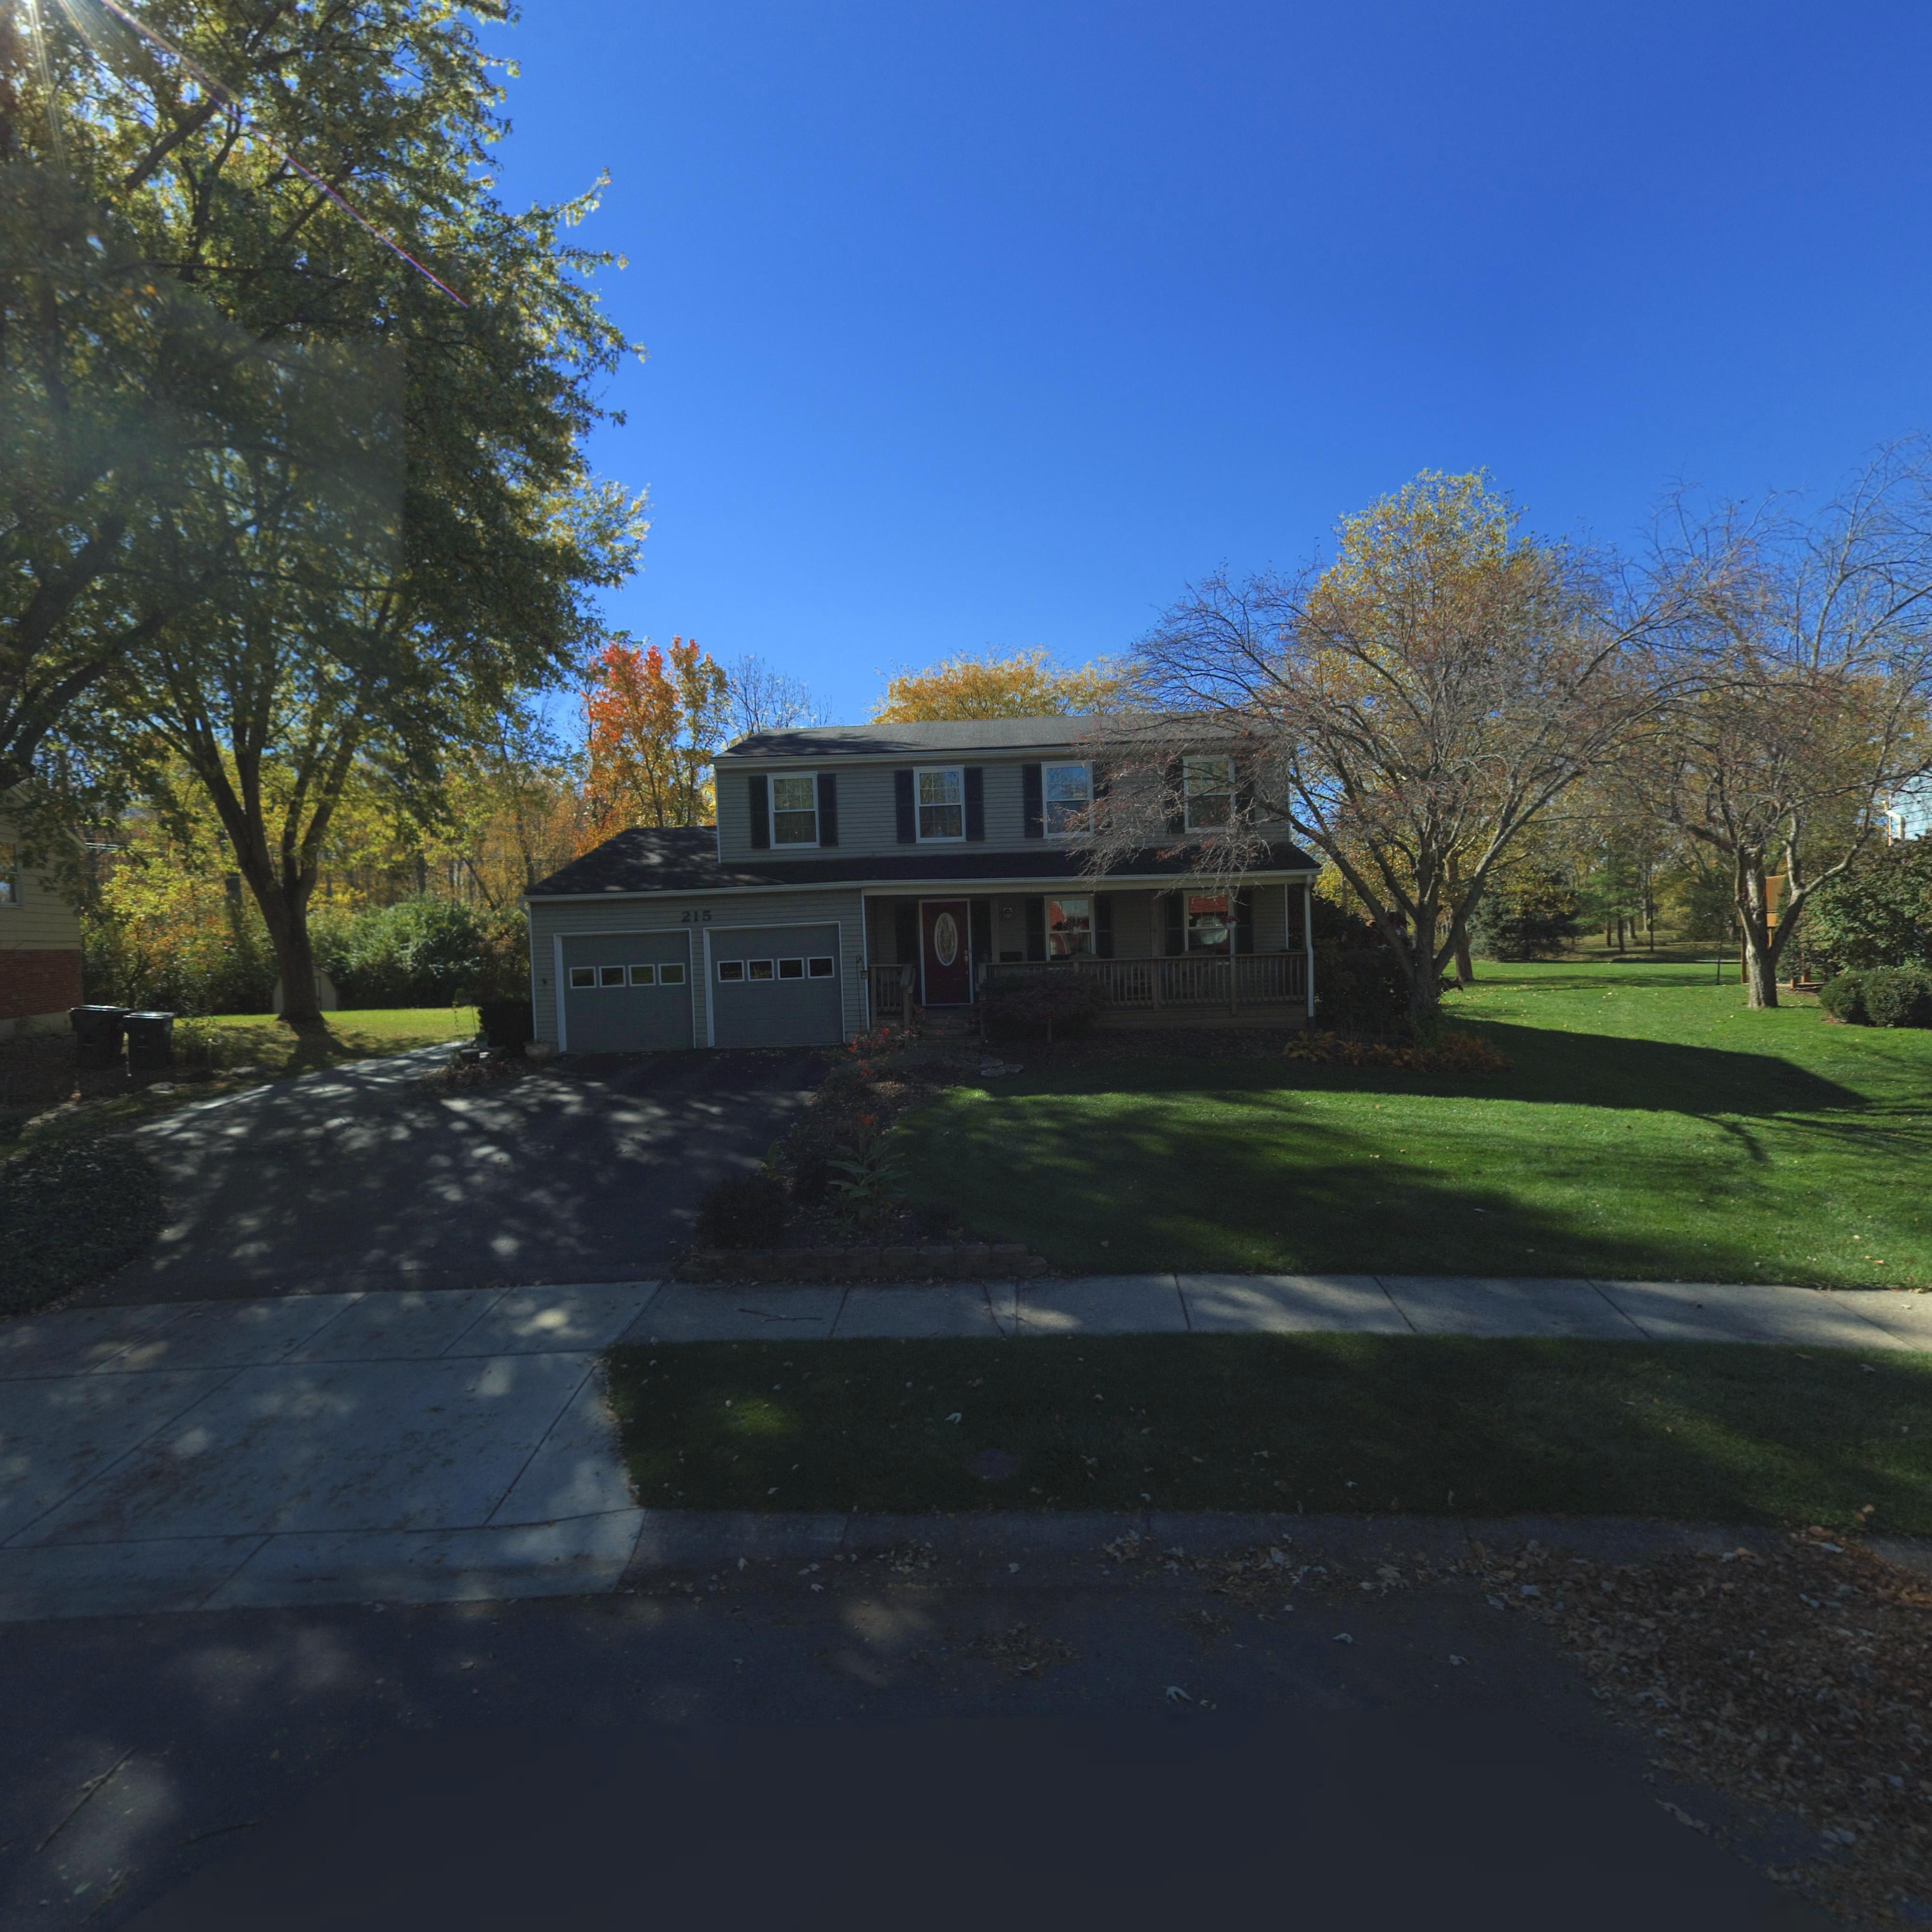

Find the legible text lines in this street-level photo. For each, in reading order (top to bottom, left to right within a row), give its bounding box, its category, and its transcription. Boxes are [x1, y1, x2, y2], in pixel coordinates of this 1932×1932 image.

[679, 908, 714, 924] StreetNumber: 215